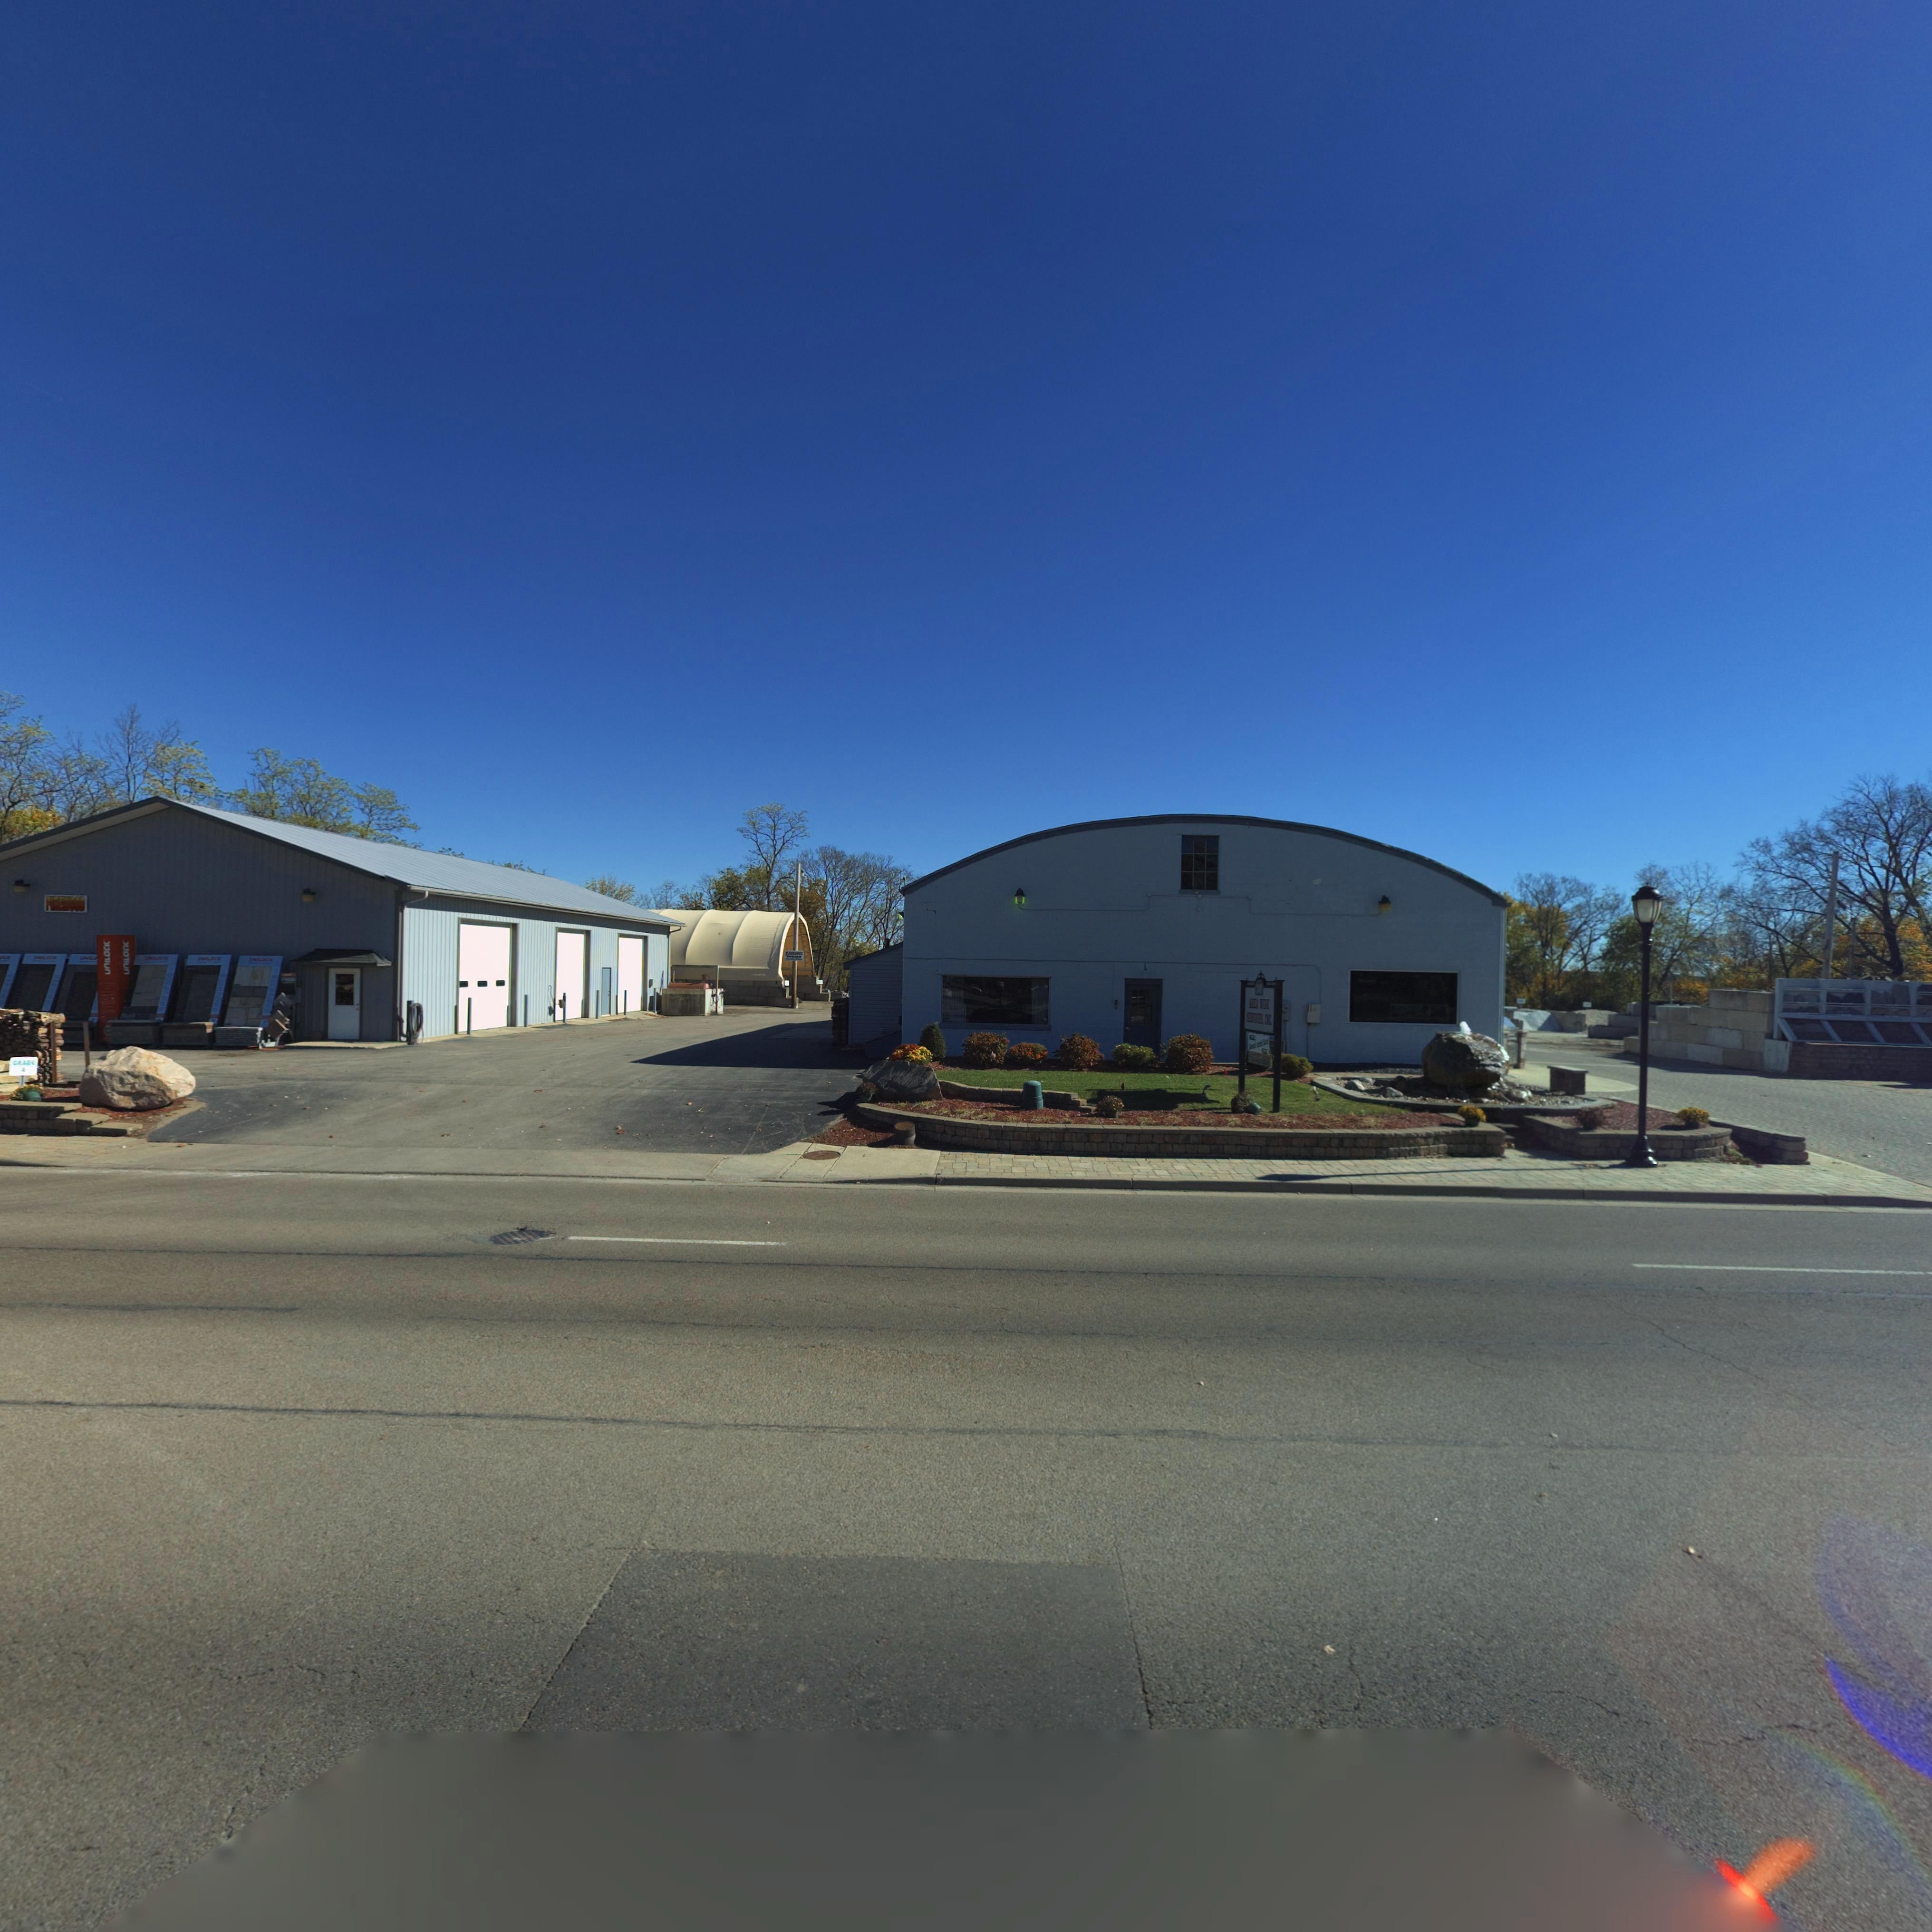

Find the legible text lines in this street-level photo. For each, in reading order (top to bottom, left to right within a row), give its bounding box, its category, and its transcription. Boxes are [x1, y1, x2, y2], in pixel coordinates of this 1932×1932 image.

[102, 939, 111, 976] None: UNILOCK
[122, 941, 130, 976] None: UNILOCK
[1256, 983, 1263, 995] StreetNumber: *4
[1248, 1041, 1257, 1051] None: Seed